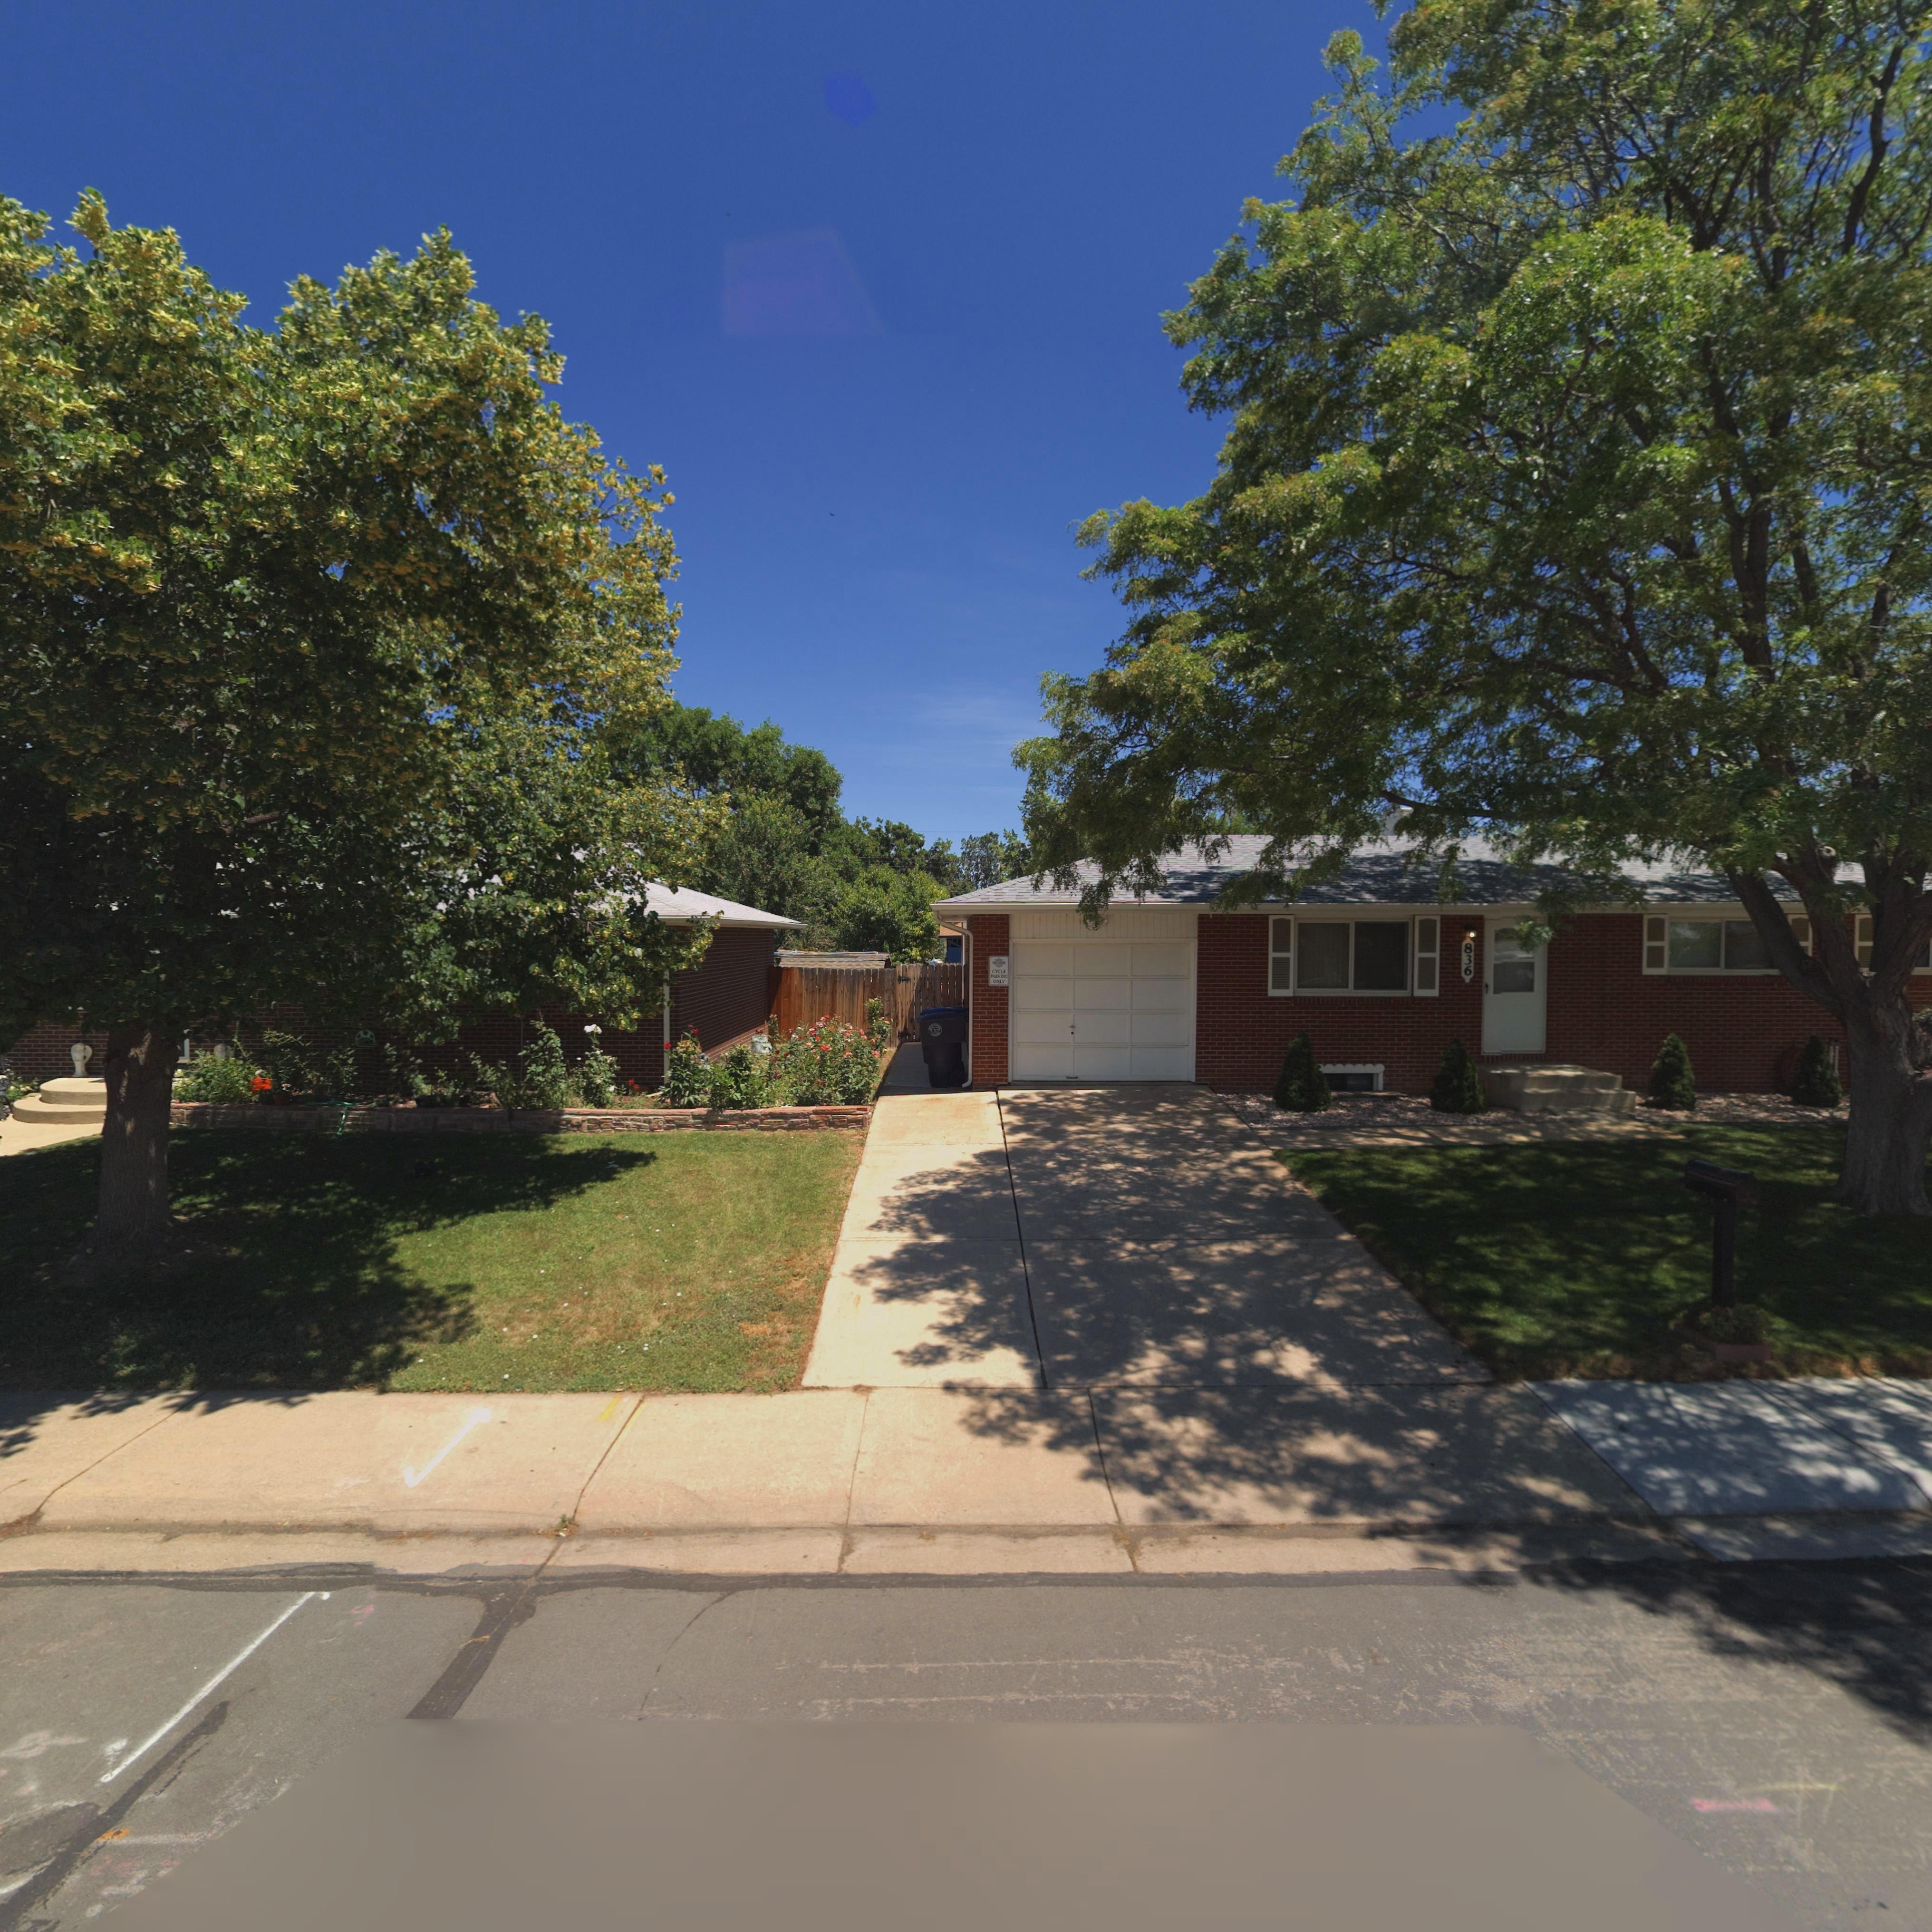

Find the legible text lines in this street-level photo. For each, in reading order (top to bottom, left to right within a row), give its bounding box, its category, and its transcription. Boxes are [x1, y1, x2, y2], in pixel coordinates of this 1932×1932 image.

[1463, 943, 1472, 976] StreetNumber: 836